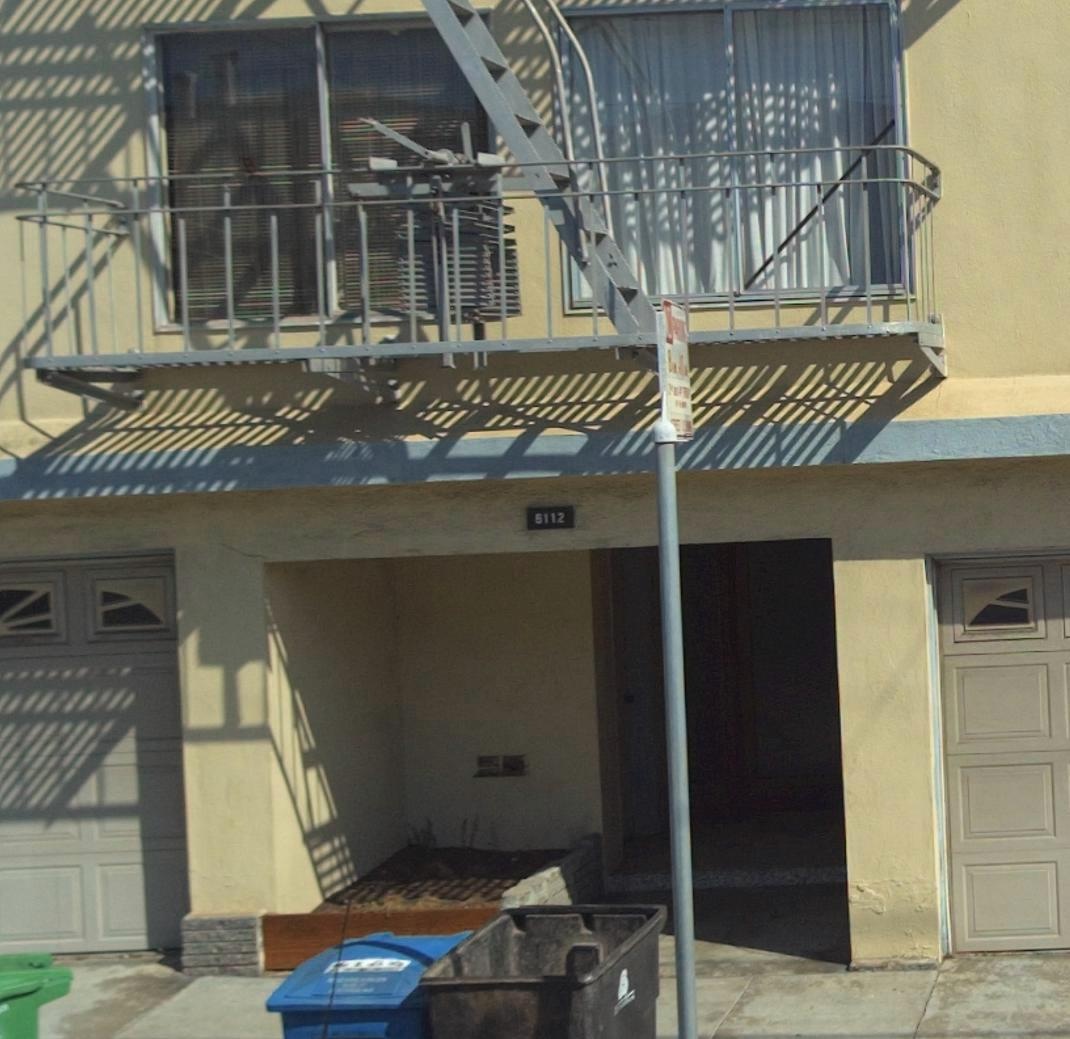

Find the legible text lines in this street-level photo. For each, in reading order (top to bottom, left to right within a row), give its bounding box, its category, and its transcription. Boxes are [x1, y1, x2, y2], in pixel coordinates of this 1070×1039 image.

[533, 511, 567, 526] StreetNumber: 6112